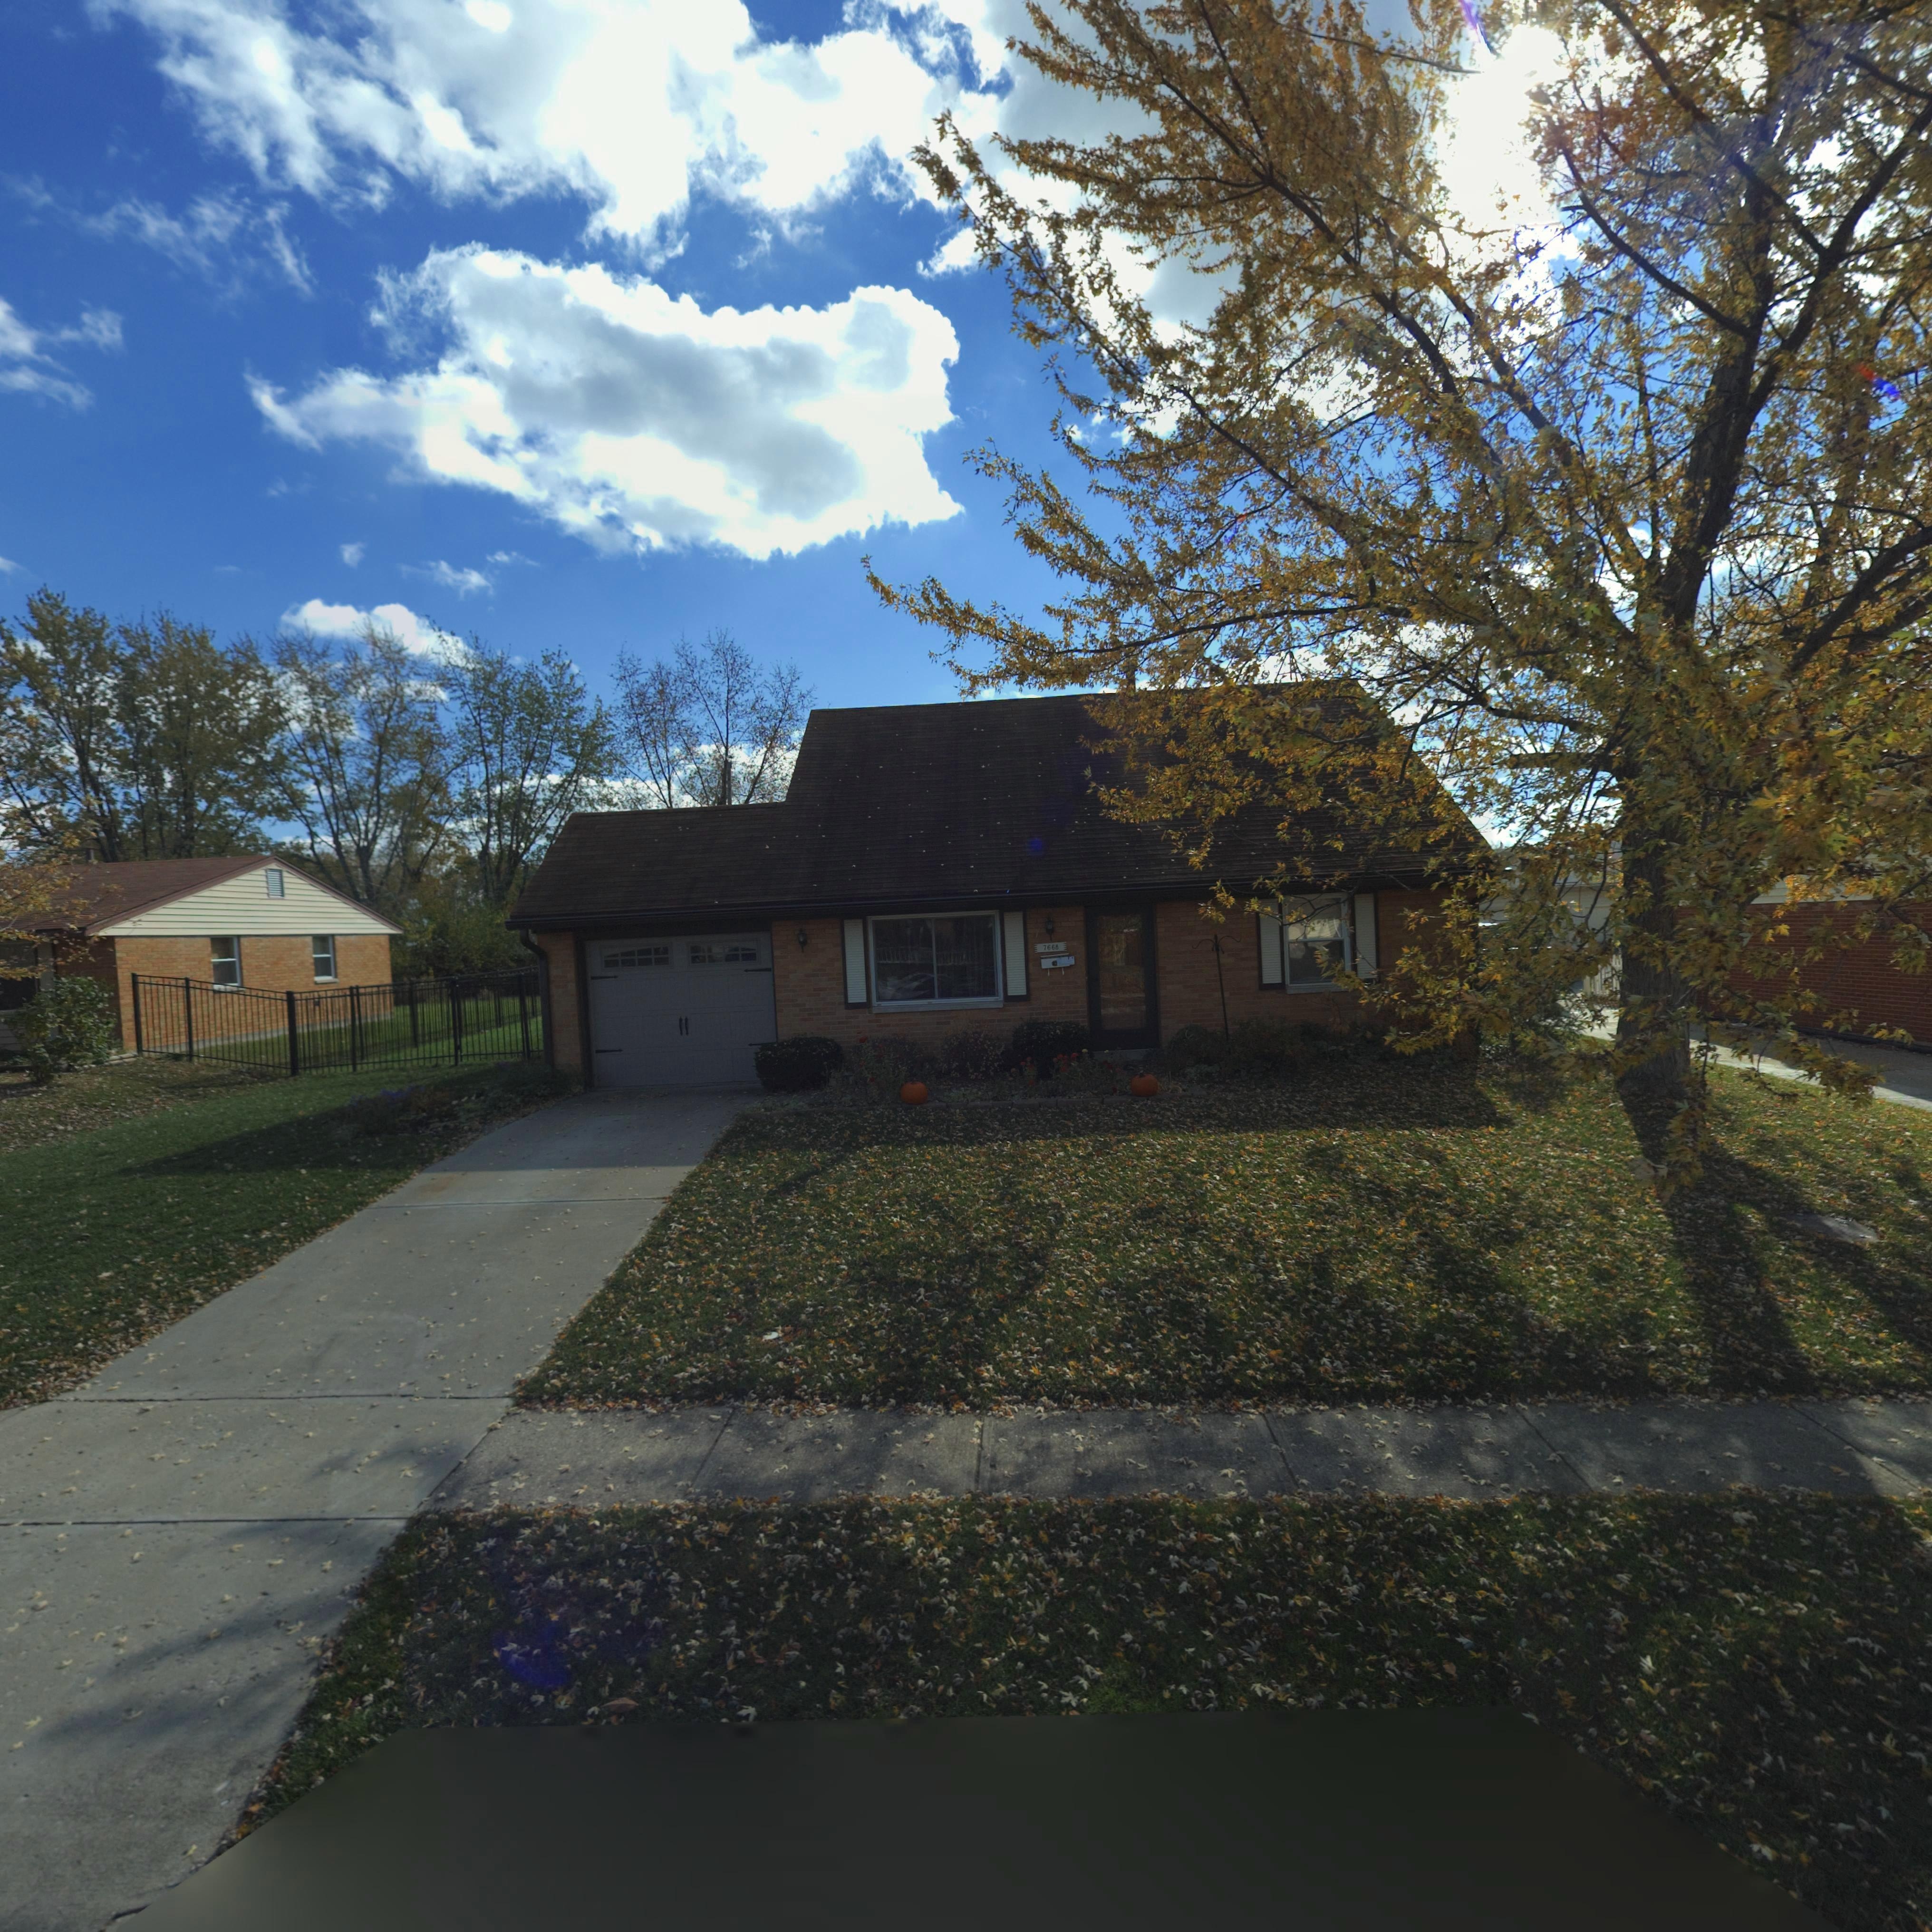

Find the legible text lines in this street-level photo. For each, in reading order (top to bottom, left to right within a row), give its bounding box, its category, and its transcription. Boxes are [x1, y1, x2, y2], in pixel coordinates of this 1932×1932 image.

[1043, 944, 1059, 951] StreetNumber: 7668